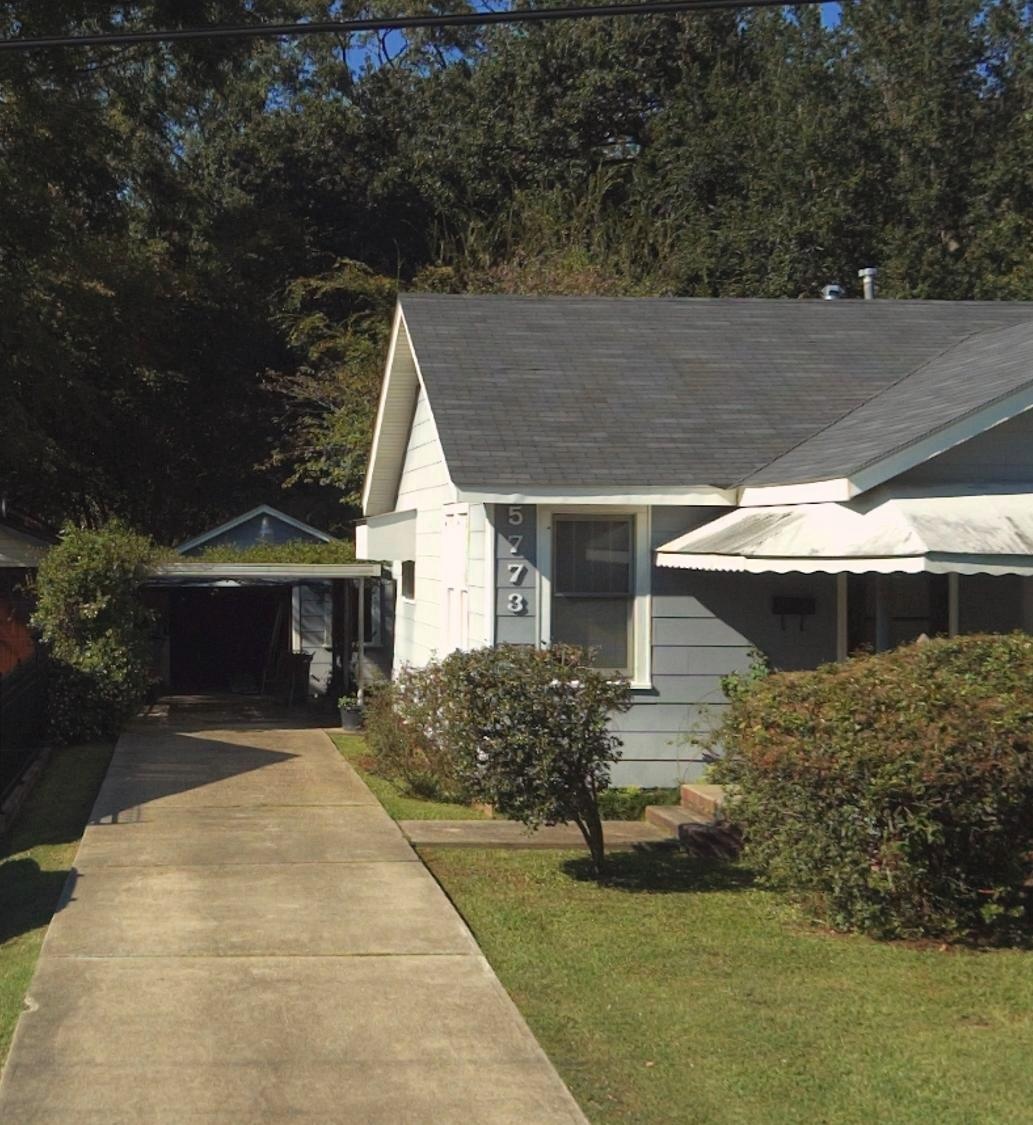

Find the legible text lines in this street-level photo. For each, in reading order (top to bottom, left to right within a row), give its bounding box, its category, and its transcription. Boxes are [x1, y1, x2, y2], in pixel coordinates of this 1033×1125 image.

[507, 505, 525, 613] StreetNumber: 5773